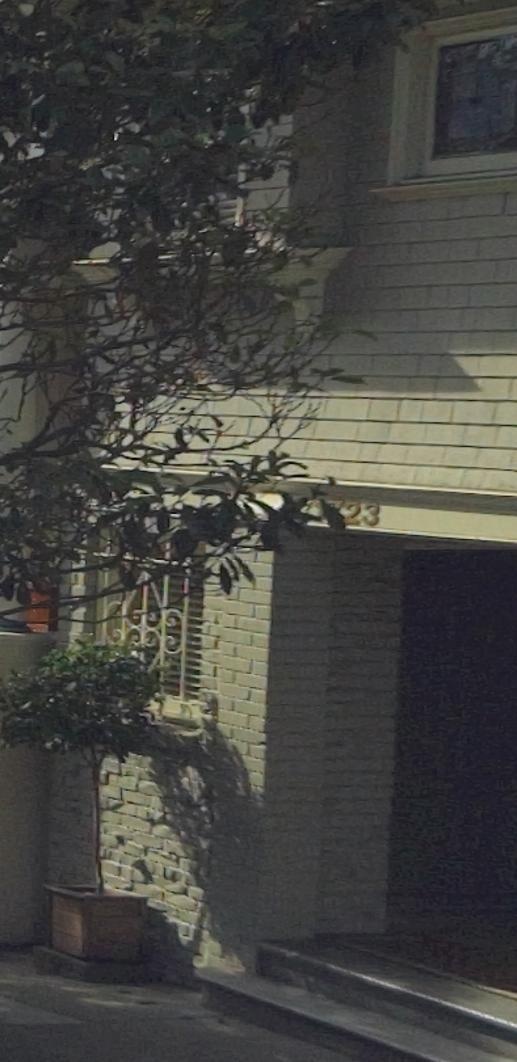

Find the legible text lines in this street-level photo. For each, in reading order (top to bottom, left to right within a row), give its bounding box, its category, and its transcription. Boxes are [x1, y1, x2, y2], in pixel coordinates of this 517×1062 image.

[337, 499, 381, 528] StreetNumber: 23